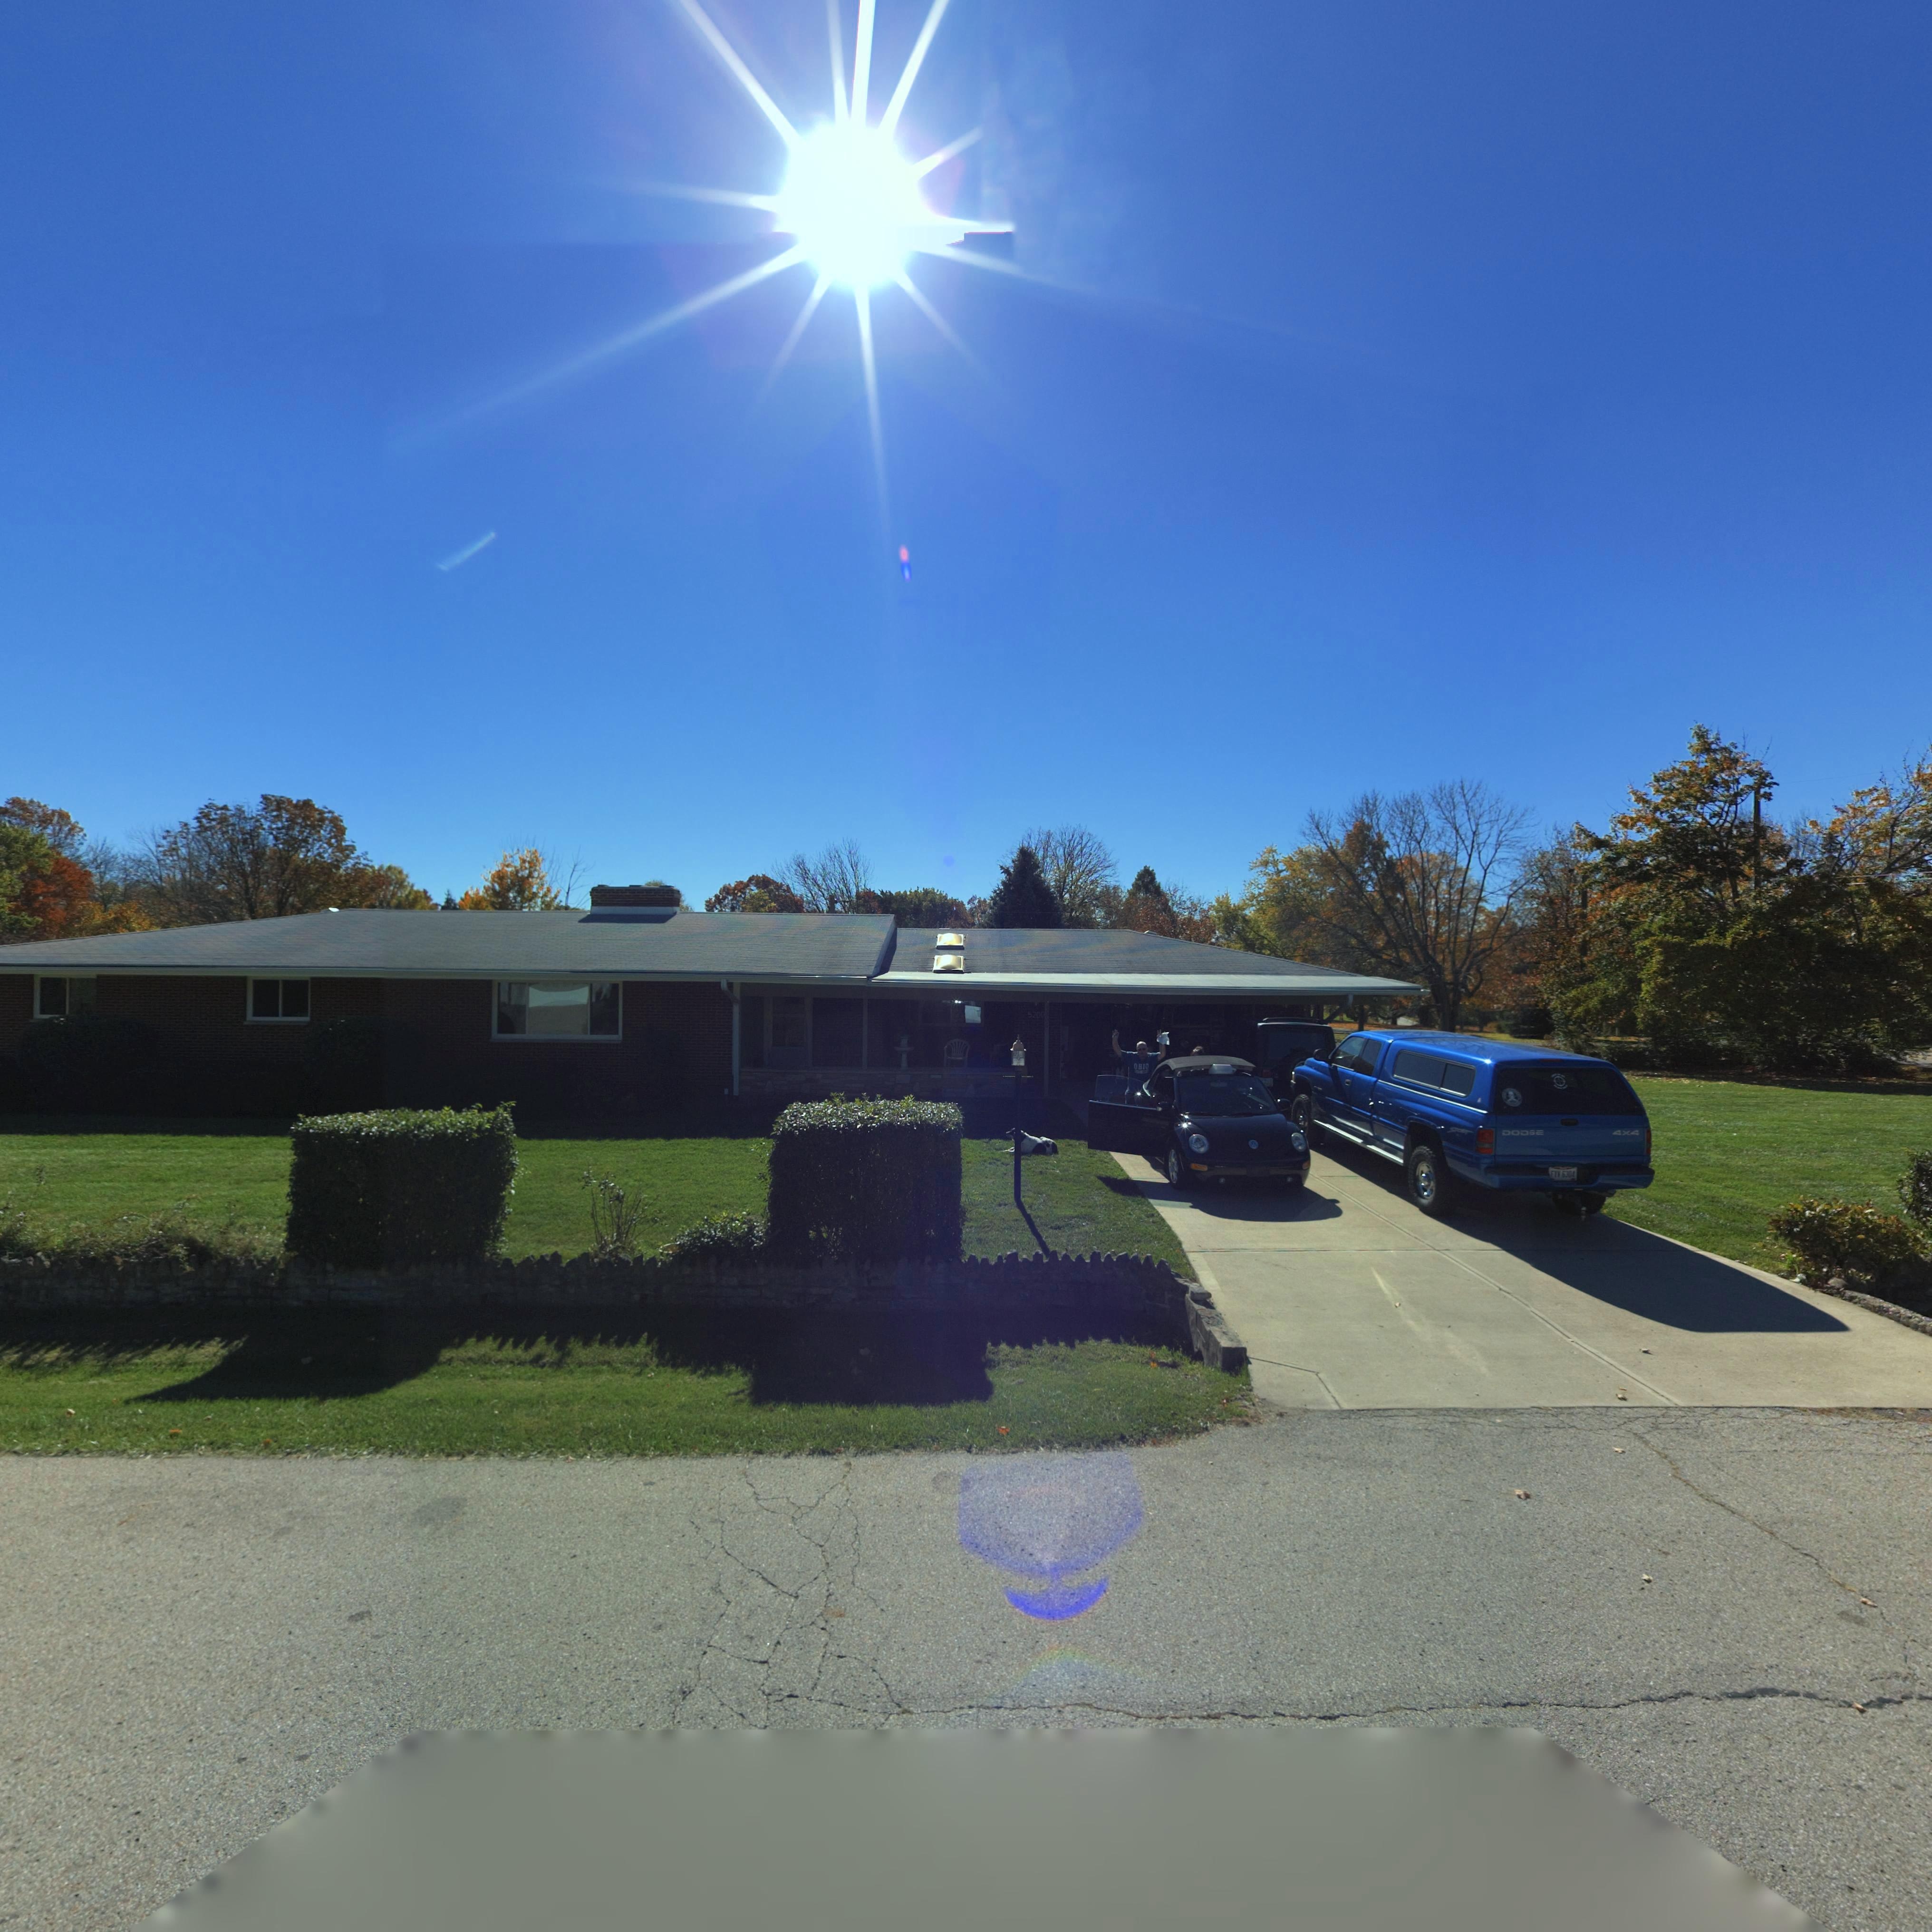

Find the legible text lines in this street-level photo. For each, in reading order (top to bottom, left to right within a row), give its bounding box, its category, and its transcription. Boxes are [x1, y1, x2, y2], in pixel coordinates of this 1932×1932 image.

[1026, 1011, 1046, 1019] StreetNumber: 5200
[1043, 1022, 1050, 1029] StreetNumber: 0